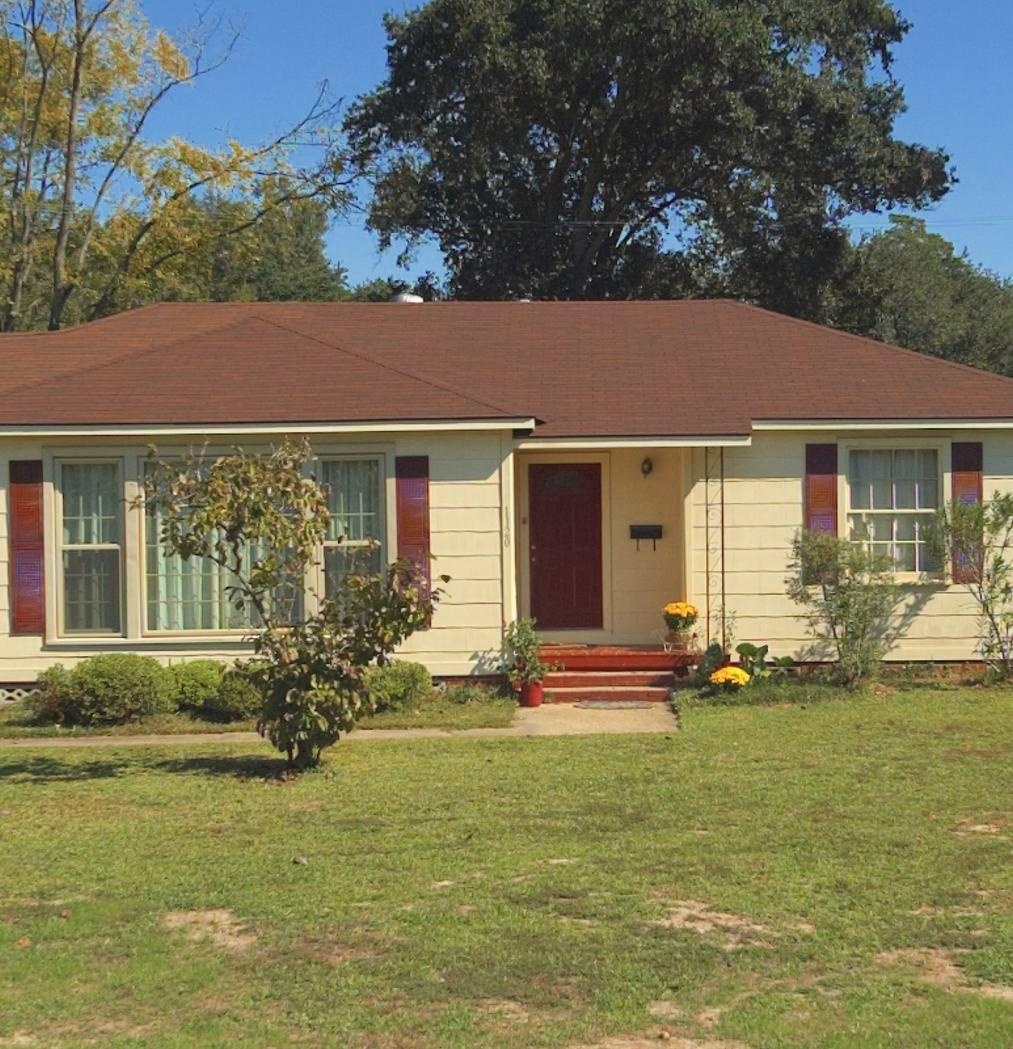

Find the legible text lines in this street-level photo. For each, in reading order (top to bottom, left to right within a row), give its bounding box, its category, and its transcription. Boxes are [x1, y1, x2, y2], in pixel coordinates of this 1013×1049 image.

[502, 504, 512, 549] StreetNumber: 1120